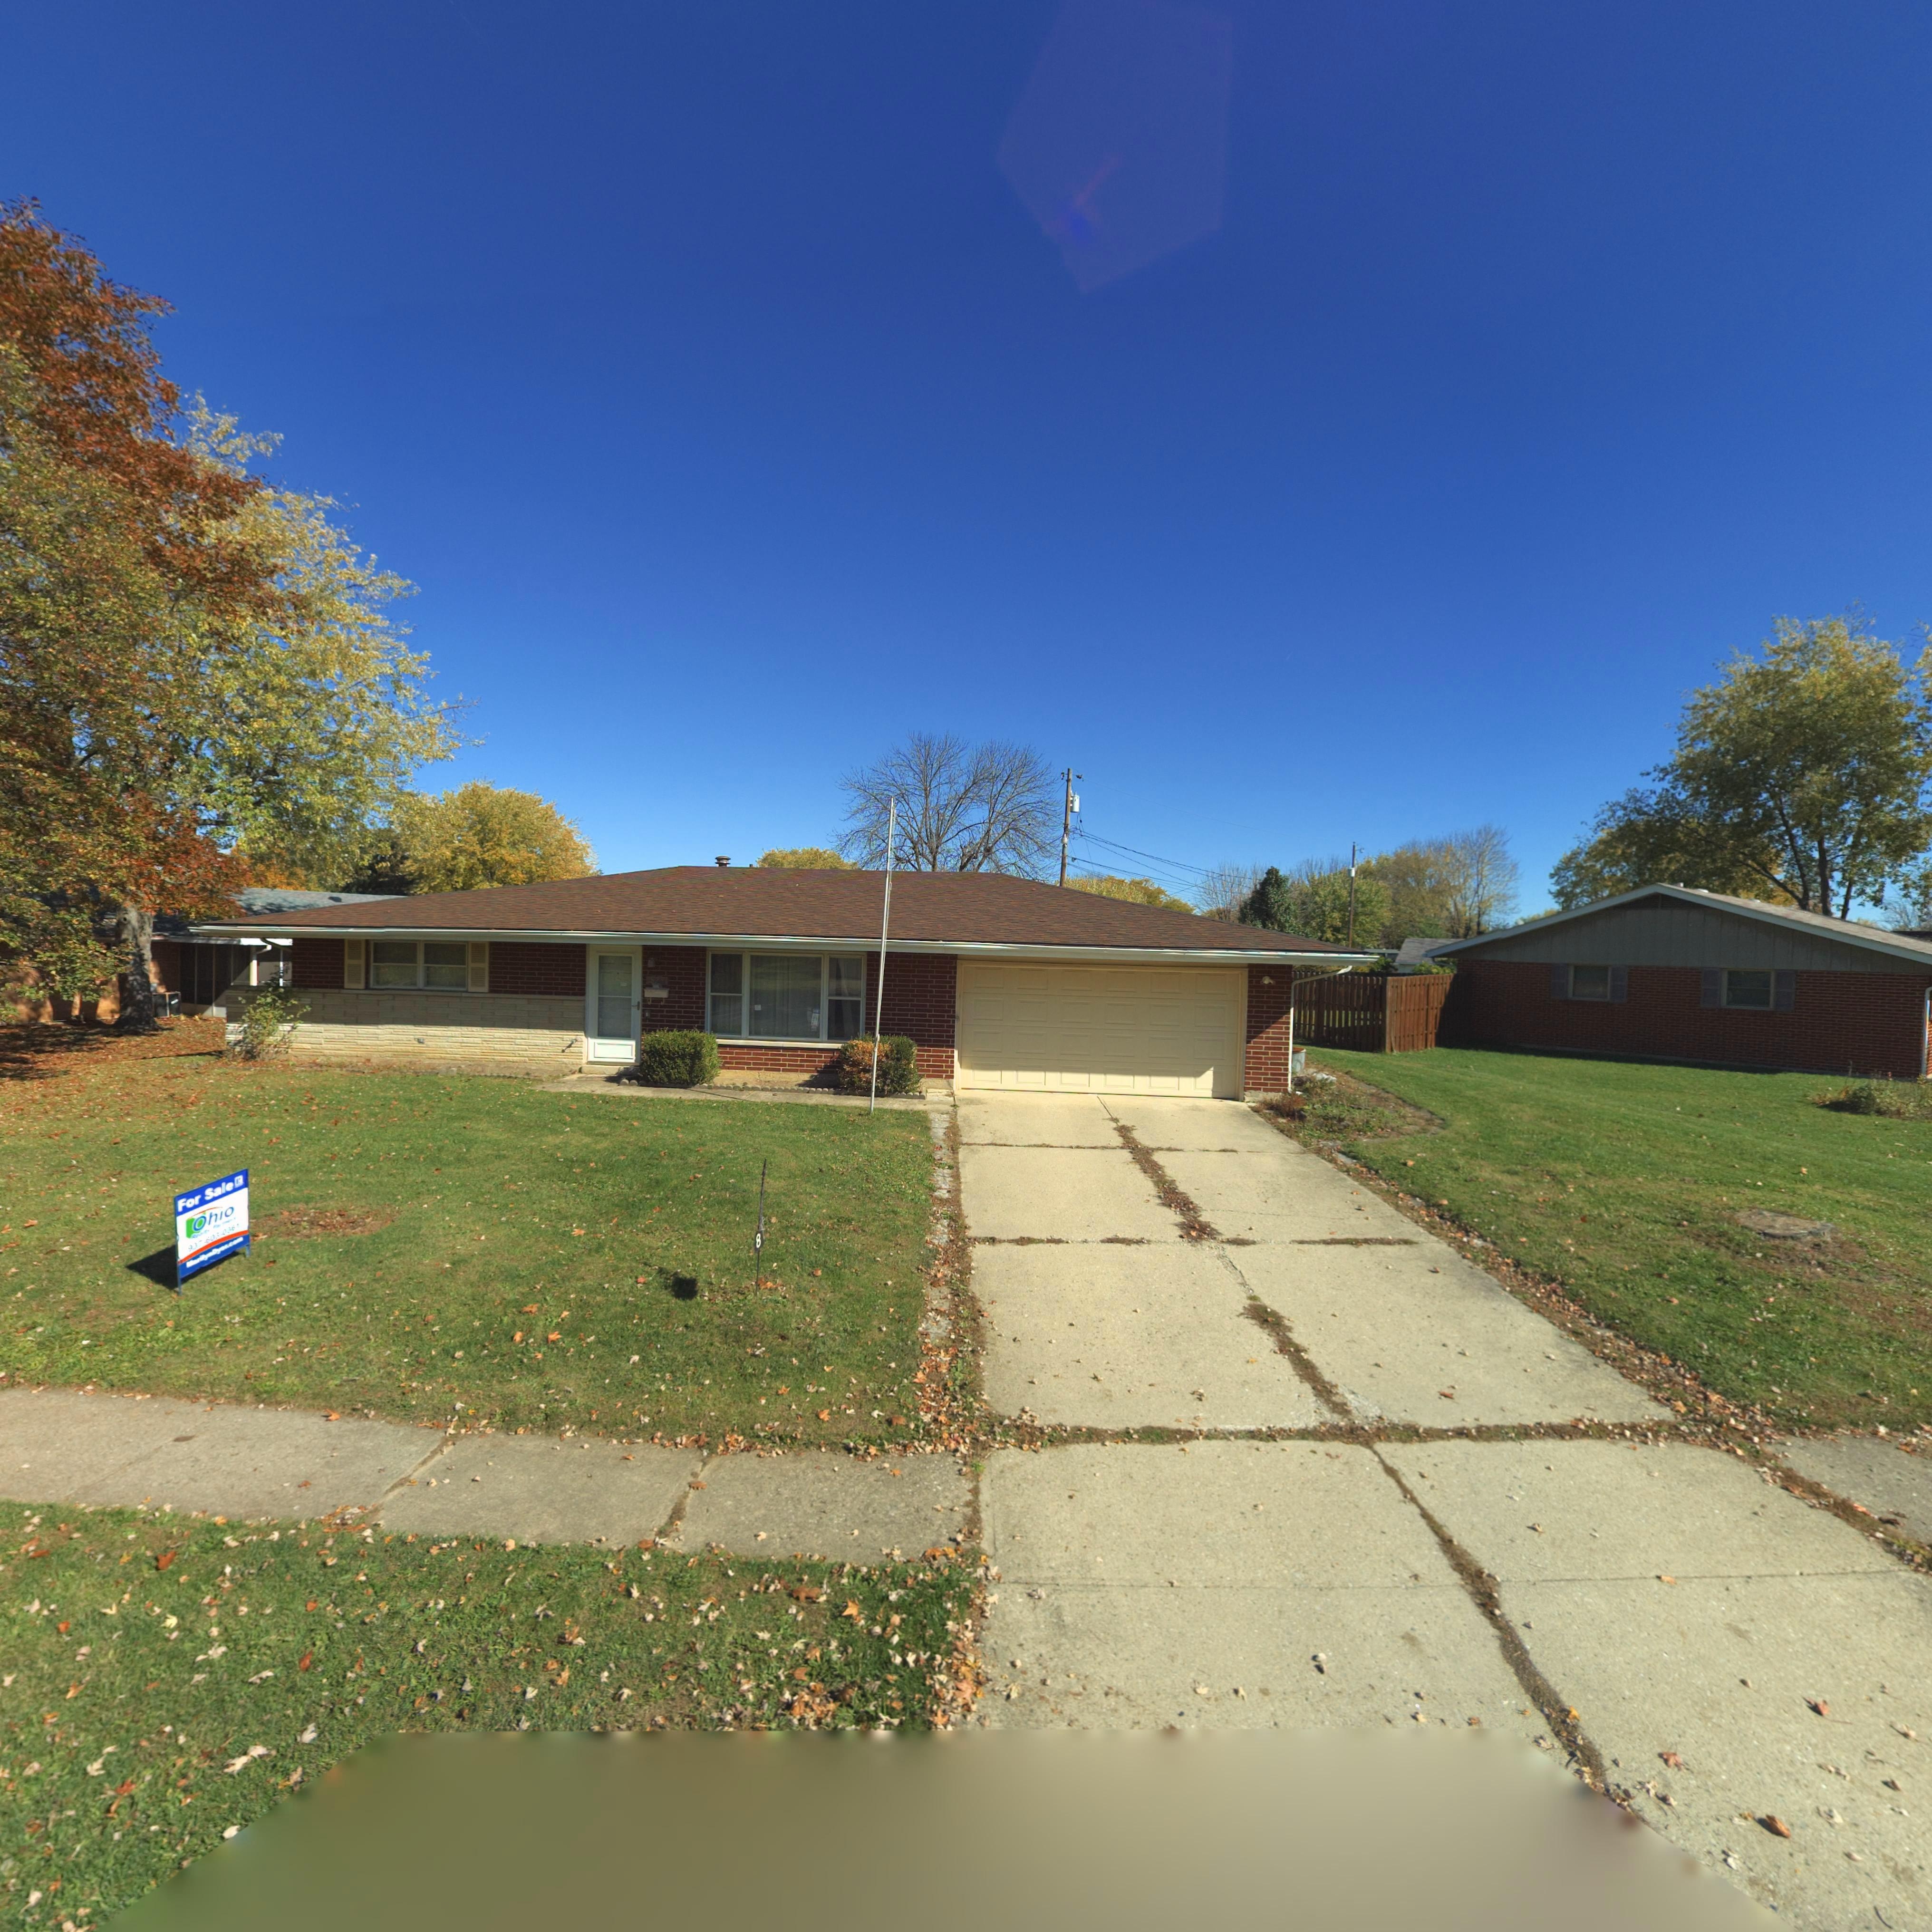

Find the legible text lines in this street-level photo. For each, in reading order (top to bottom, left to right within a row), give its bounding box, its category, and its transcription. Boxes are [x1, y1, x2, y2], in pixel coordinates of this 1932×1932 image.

[650, 976, 664, 984] StreetNumber: 82*